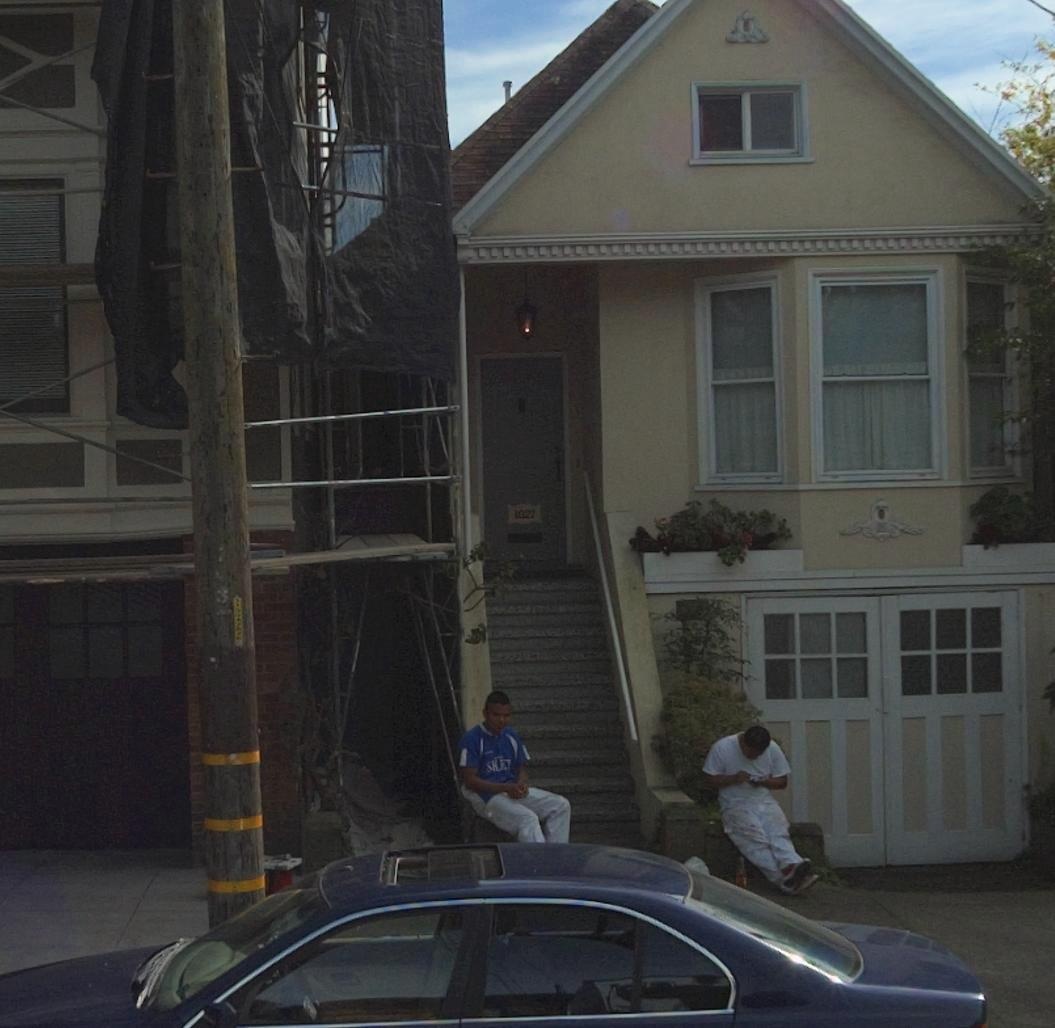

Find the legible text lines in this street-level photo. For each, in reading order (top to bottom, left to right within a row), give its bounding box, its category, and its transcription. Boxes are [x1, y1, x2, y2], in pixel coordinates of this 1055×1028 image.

[513, 508, 537, 519] StreetNumber: 1027
[214, 585, 228, 604] None: 3